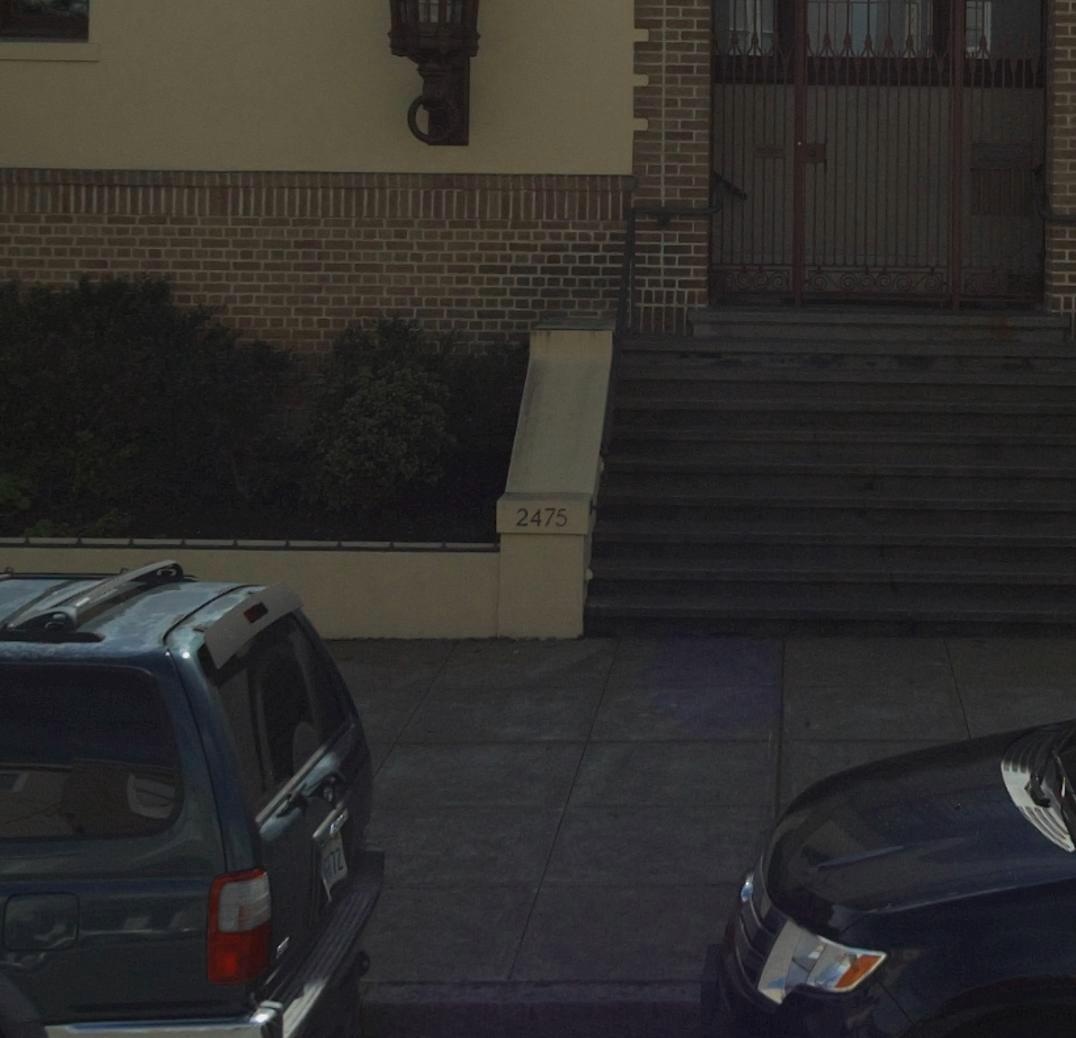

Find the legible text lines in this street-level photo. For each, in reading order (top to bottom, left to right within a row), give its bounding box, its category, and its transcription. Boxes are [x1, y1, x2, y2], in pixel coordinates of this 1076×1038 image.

[513, 505, 570, 530] StreetNumber: 2475
[324, 844, 347, 880] None: 7*